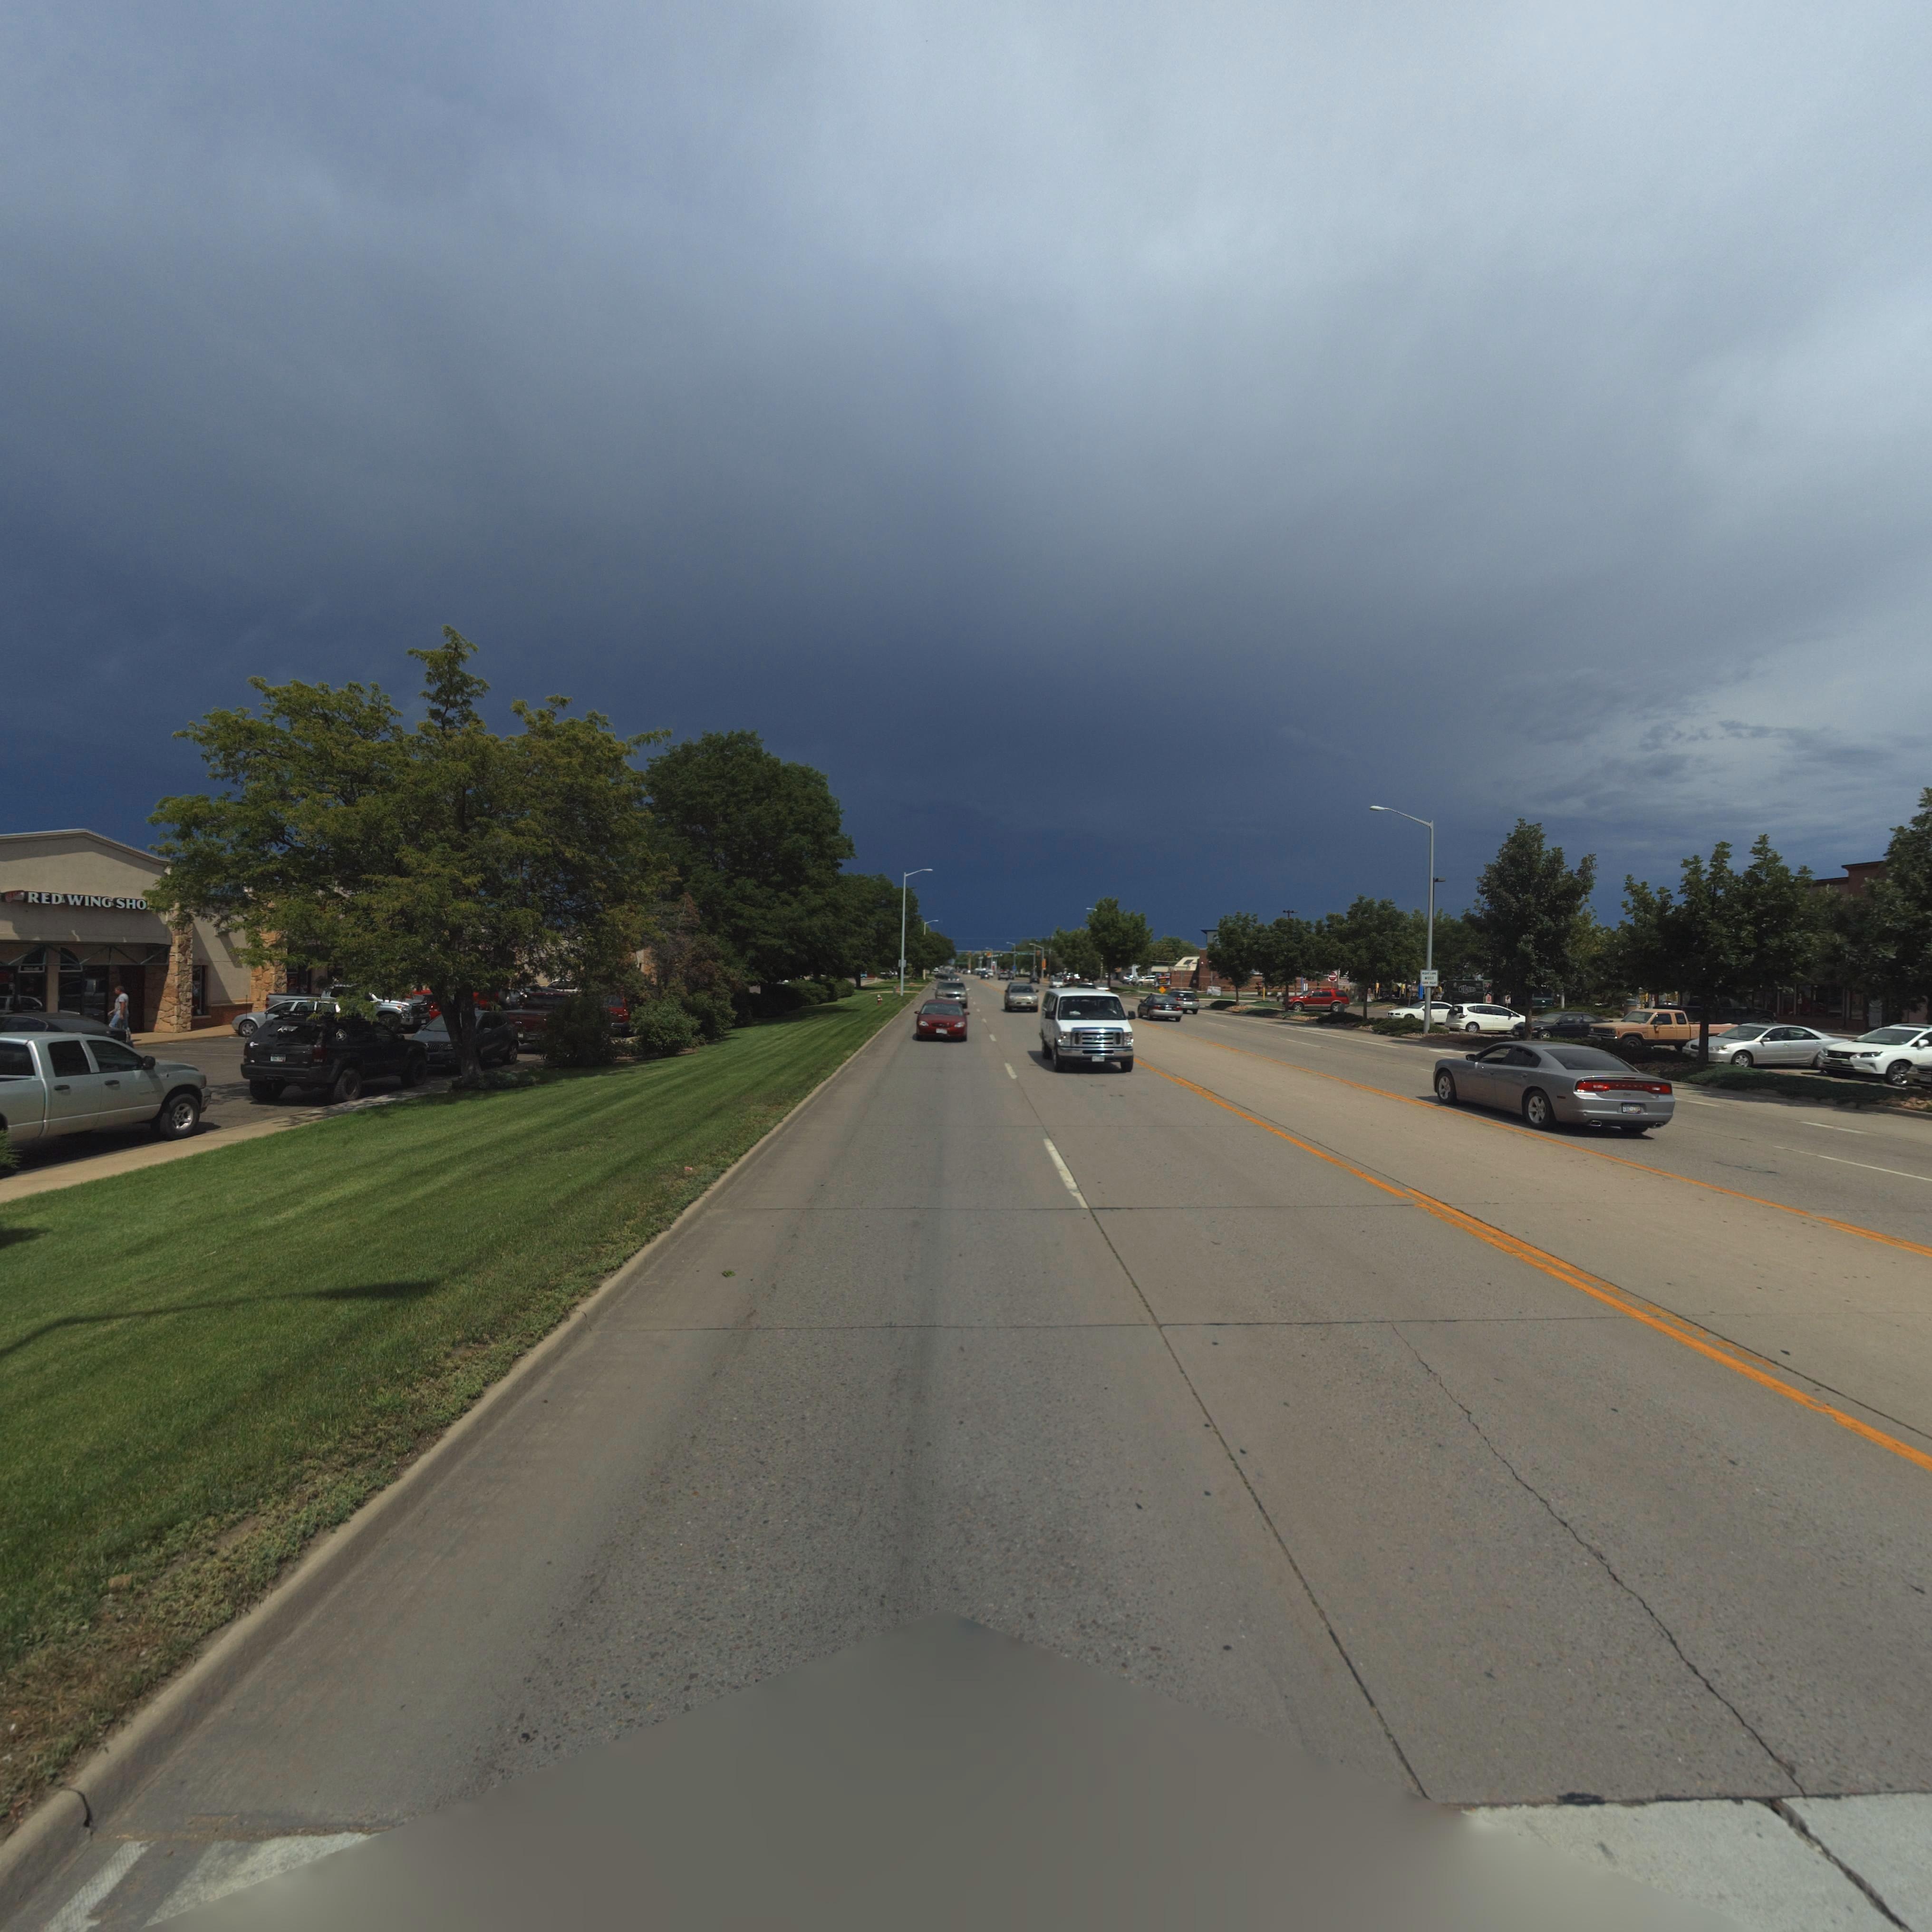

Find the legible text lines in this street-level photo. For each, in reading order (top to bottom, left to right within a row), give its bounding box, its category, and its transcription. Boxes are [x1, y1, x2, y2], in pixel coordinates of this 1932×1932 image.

[27, 890, 148, 910] BusinessName: RED WING SHO